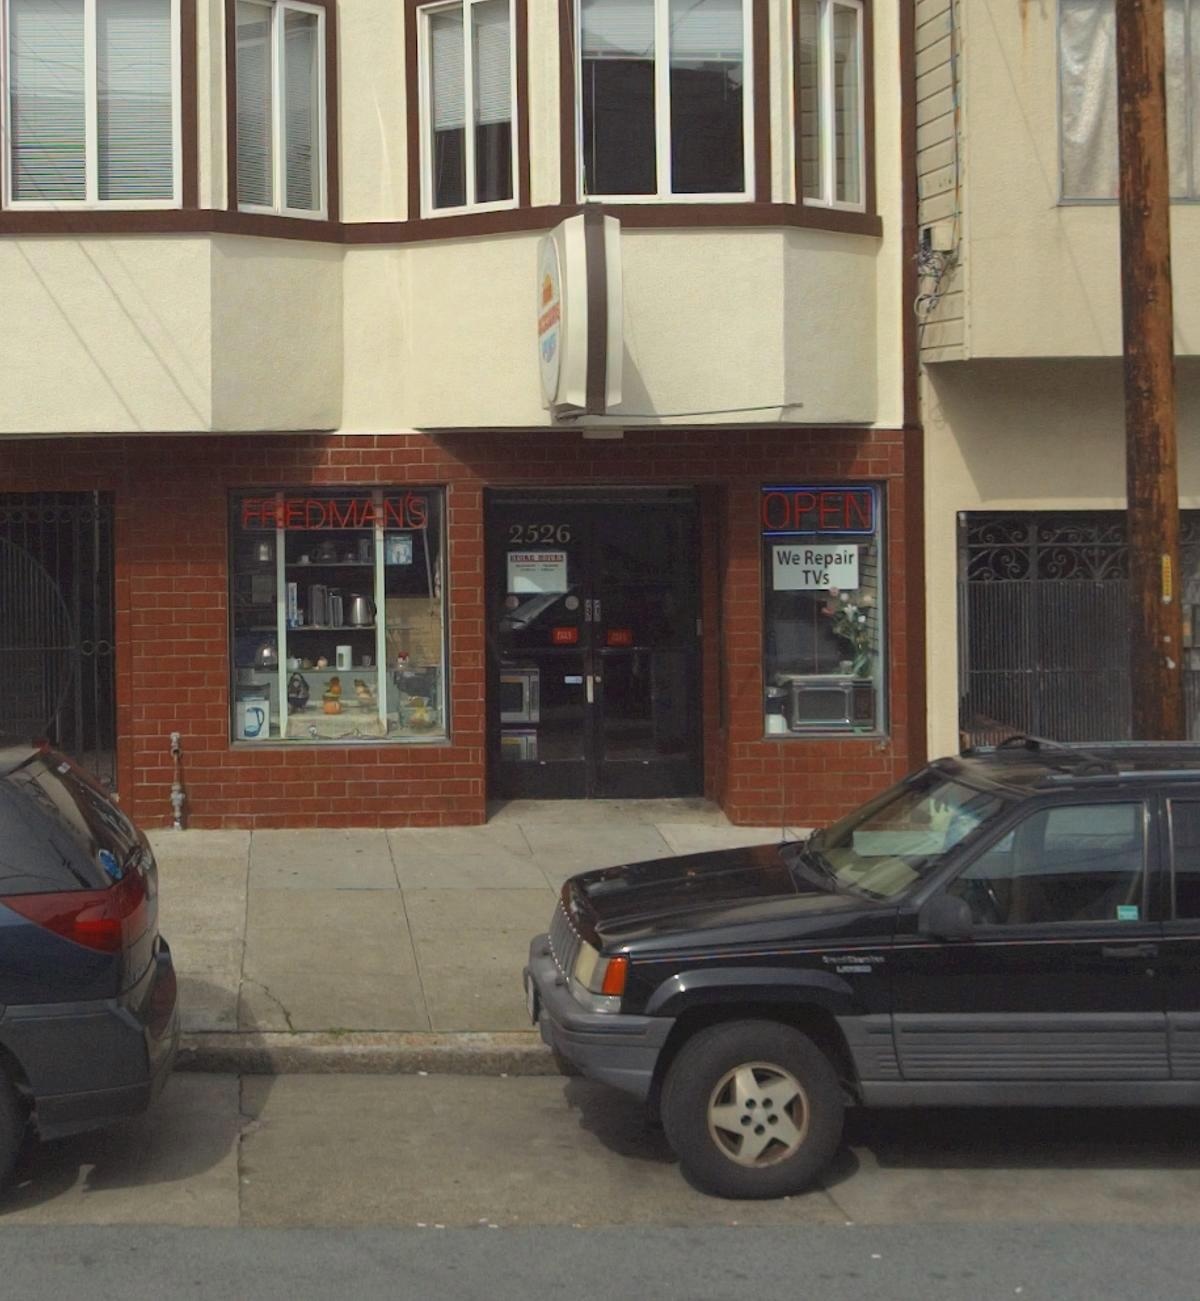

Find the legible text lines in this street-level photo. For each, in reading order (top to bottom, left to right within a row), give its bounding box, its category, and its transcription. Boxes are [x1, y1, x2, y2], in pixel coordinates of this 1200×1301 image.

[242, 489, 427, 530] BusinessName: FR*EDMAN'S
[761, 490, 872, 530] None: OPEN
[506, 523, 572, 545] StreetNumber: 2526
[775, 549, 856, 570] None: We Repair
[800, 569, 831, 586] None: TVs